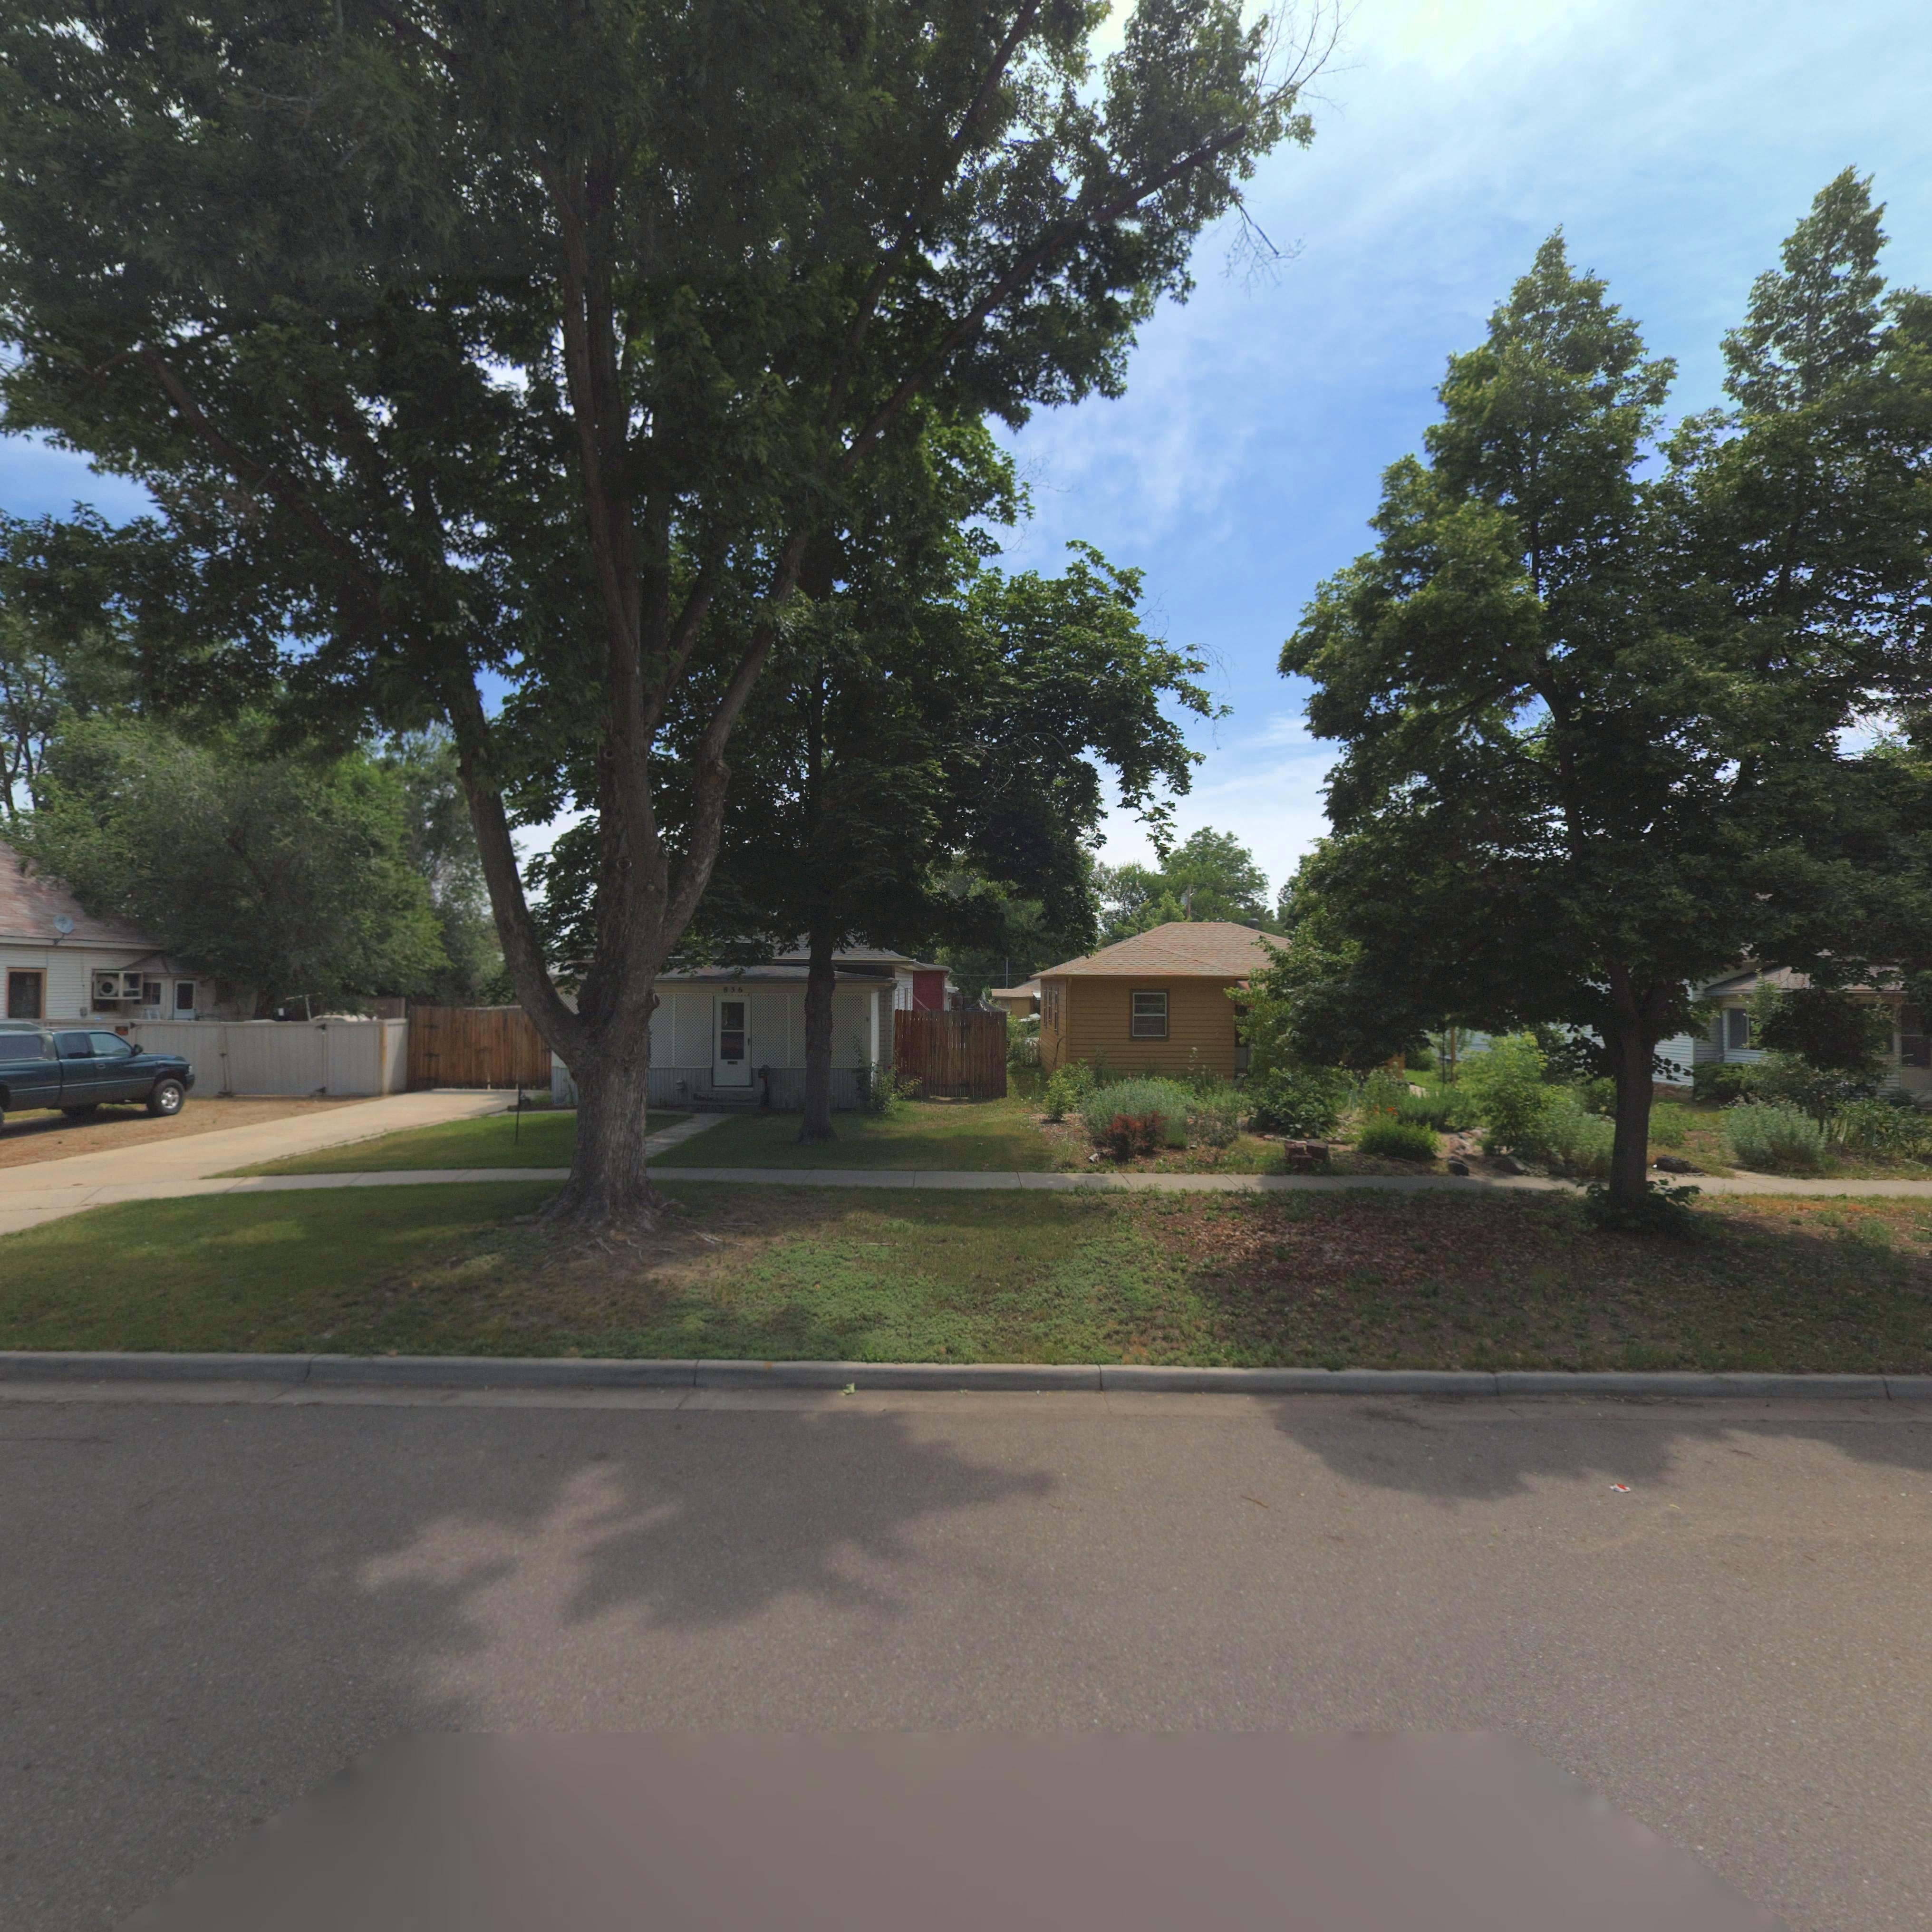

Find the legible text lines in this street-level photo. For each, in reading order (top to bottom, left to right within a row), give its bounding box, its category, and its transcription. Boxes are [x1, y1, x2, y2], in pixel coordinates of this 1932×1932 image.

[723, 986, 743, 993] StreetNumber: 836